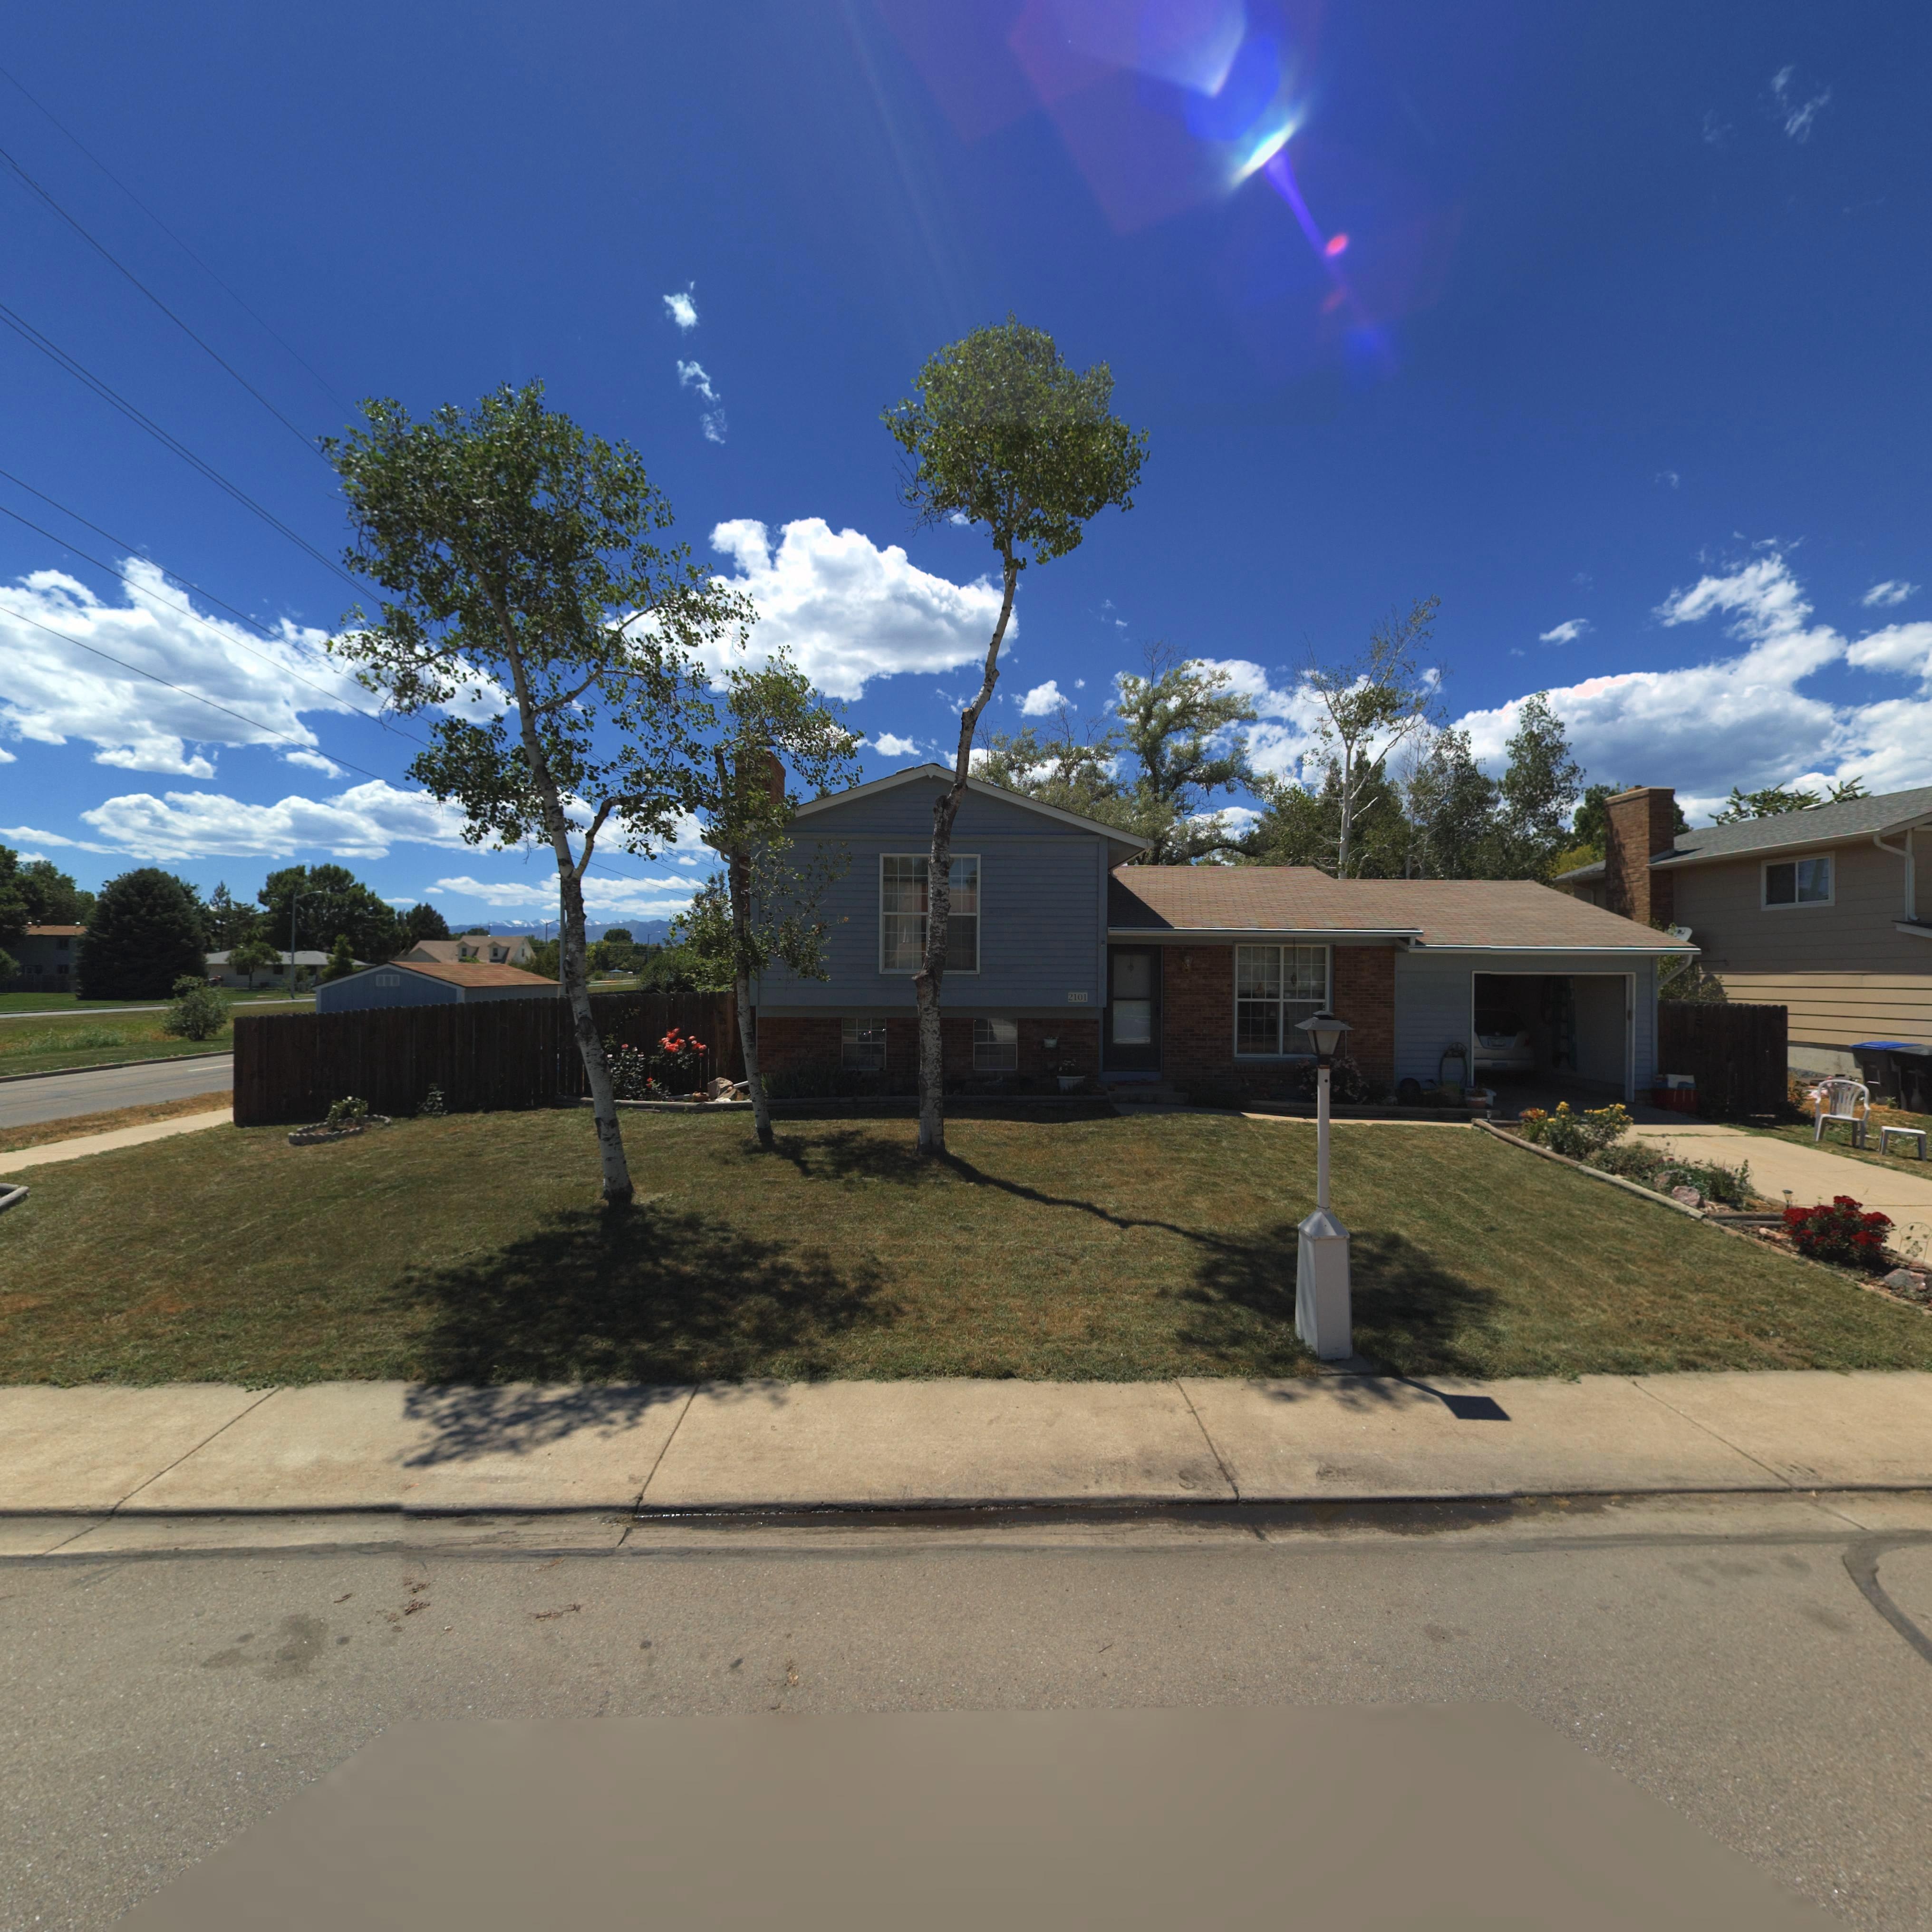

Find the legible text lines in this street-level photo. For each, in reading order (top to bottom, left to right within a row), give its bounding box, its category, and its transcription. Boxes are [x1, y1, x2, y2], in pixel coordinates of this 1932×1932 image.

[1068, 993, 1086, 1001] StreetNumber: 2101